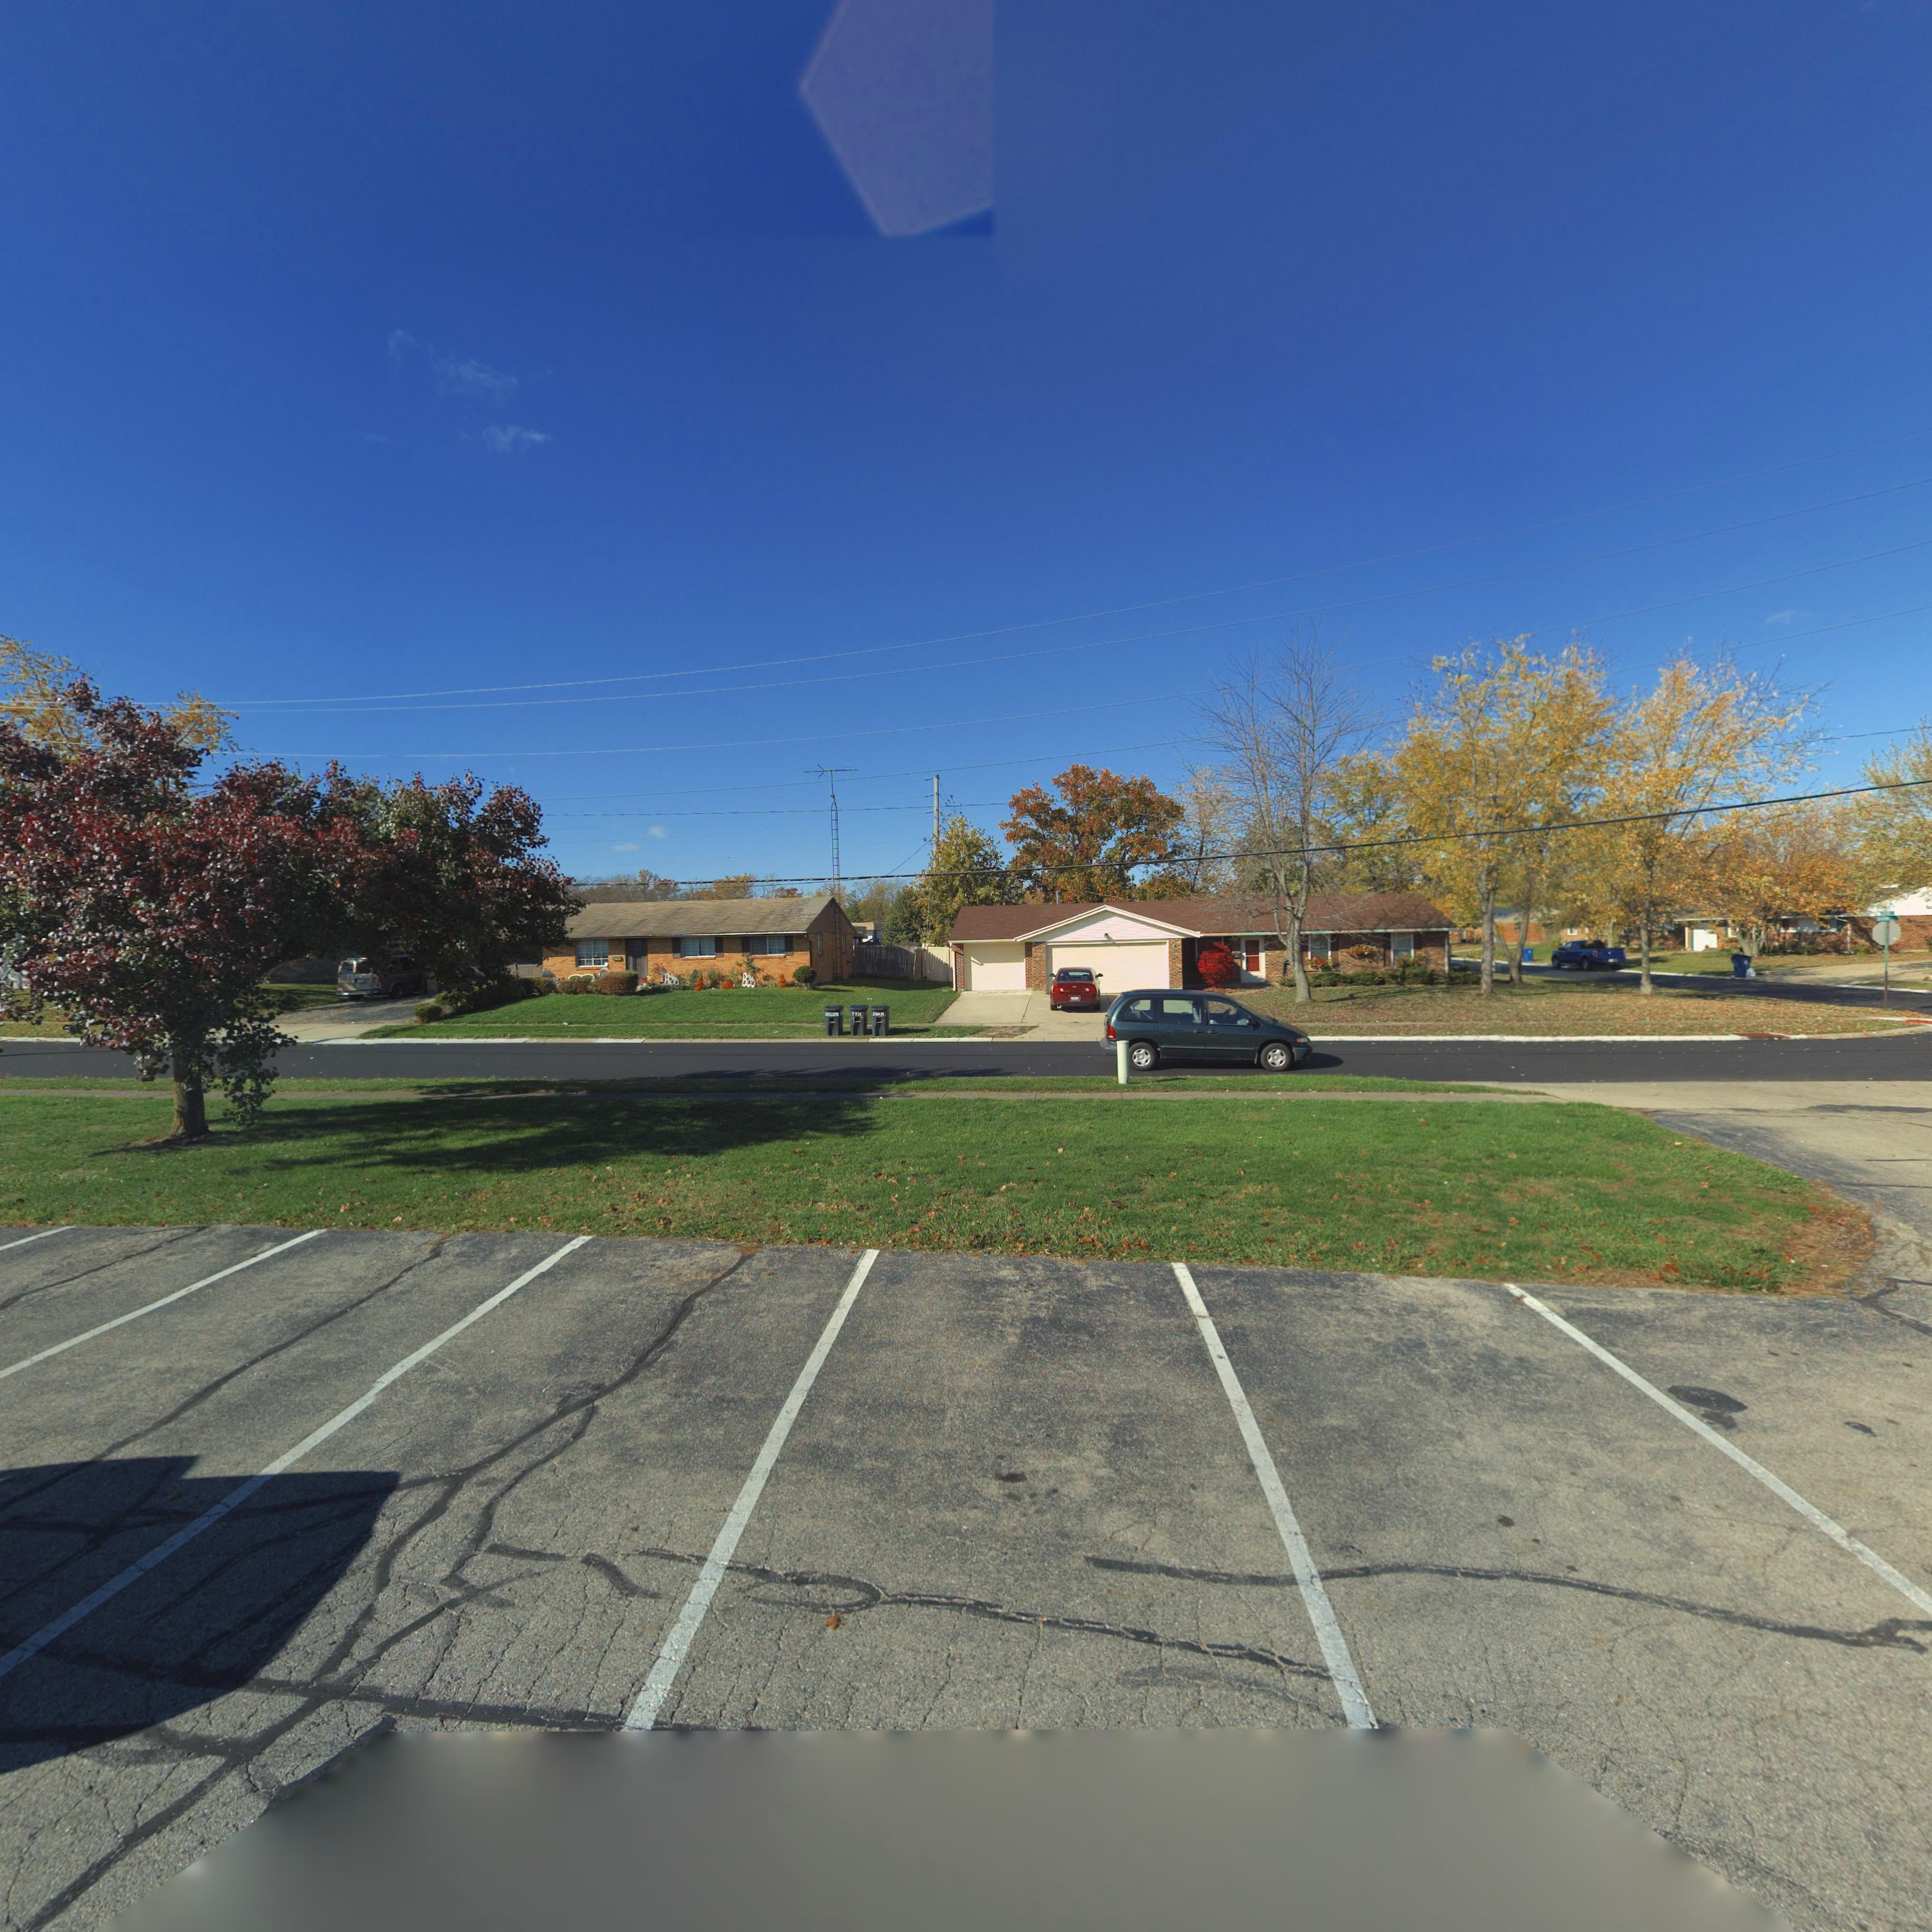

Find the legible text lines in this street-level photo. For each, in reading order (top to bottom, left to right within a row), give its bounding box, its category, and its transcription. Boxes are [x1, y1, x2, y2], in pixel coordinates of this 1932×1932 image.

[1100, 940, 1111, 944] StreetNumber: 7531
[851, 1012, 862, 1016] StreetNumber: 7531